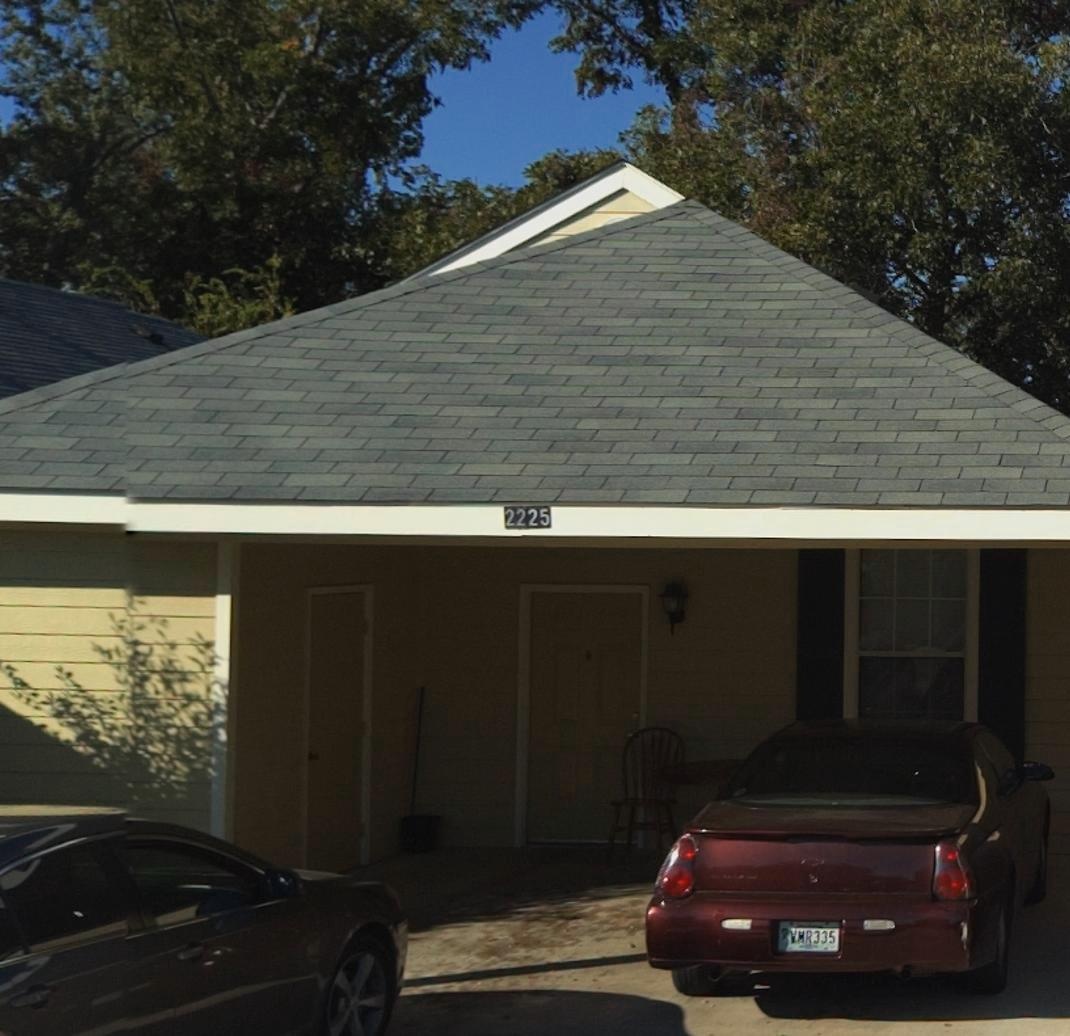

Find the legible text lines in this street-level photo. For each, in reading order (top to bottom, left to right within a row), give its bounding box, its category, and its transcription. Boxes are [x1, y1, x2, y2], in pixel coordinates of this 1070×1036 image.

[505, 507, 550, 527] StreetNumber: 2225
[787, 929, 838, 946] None: VMR335